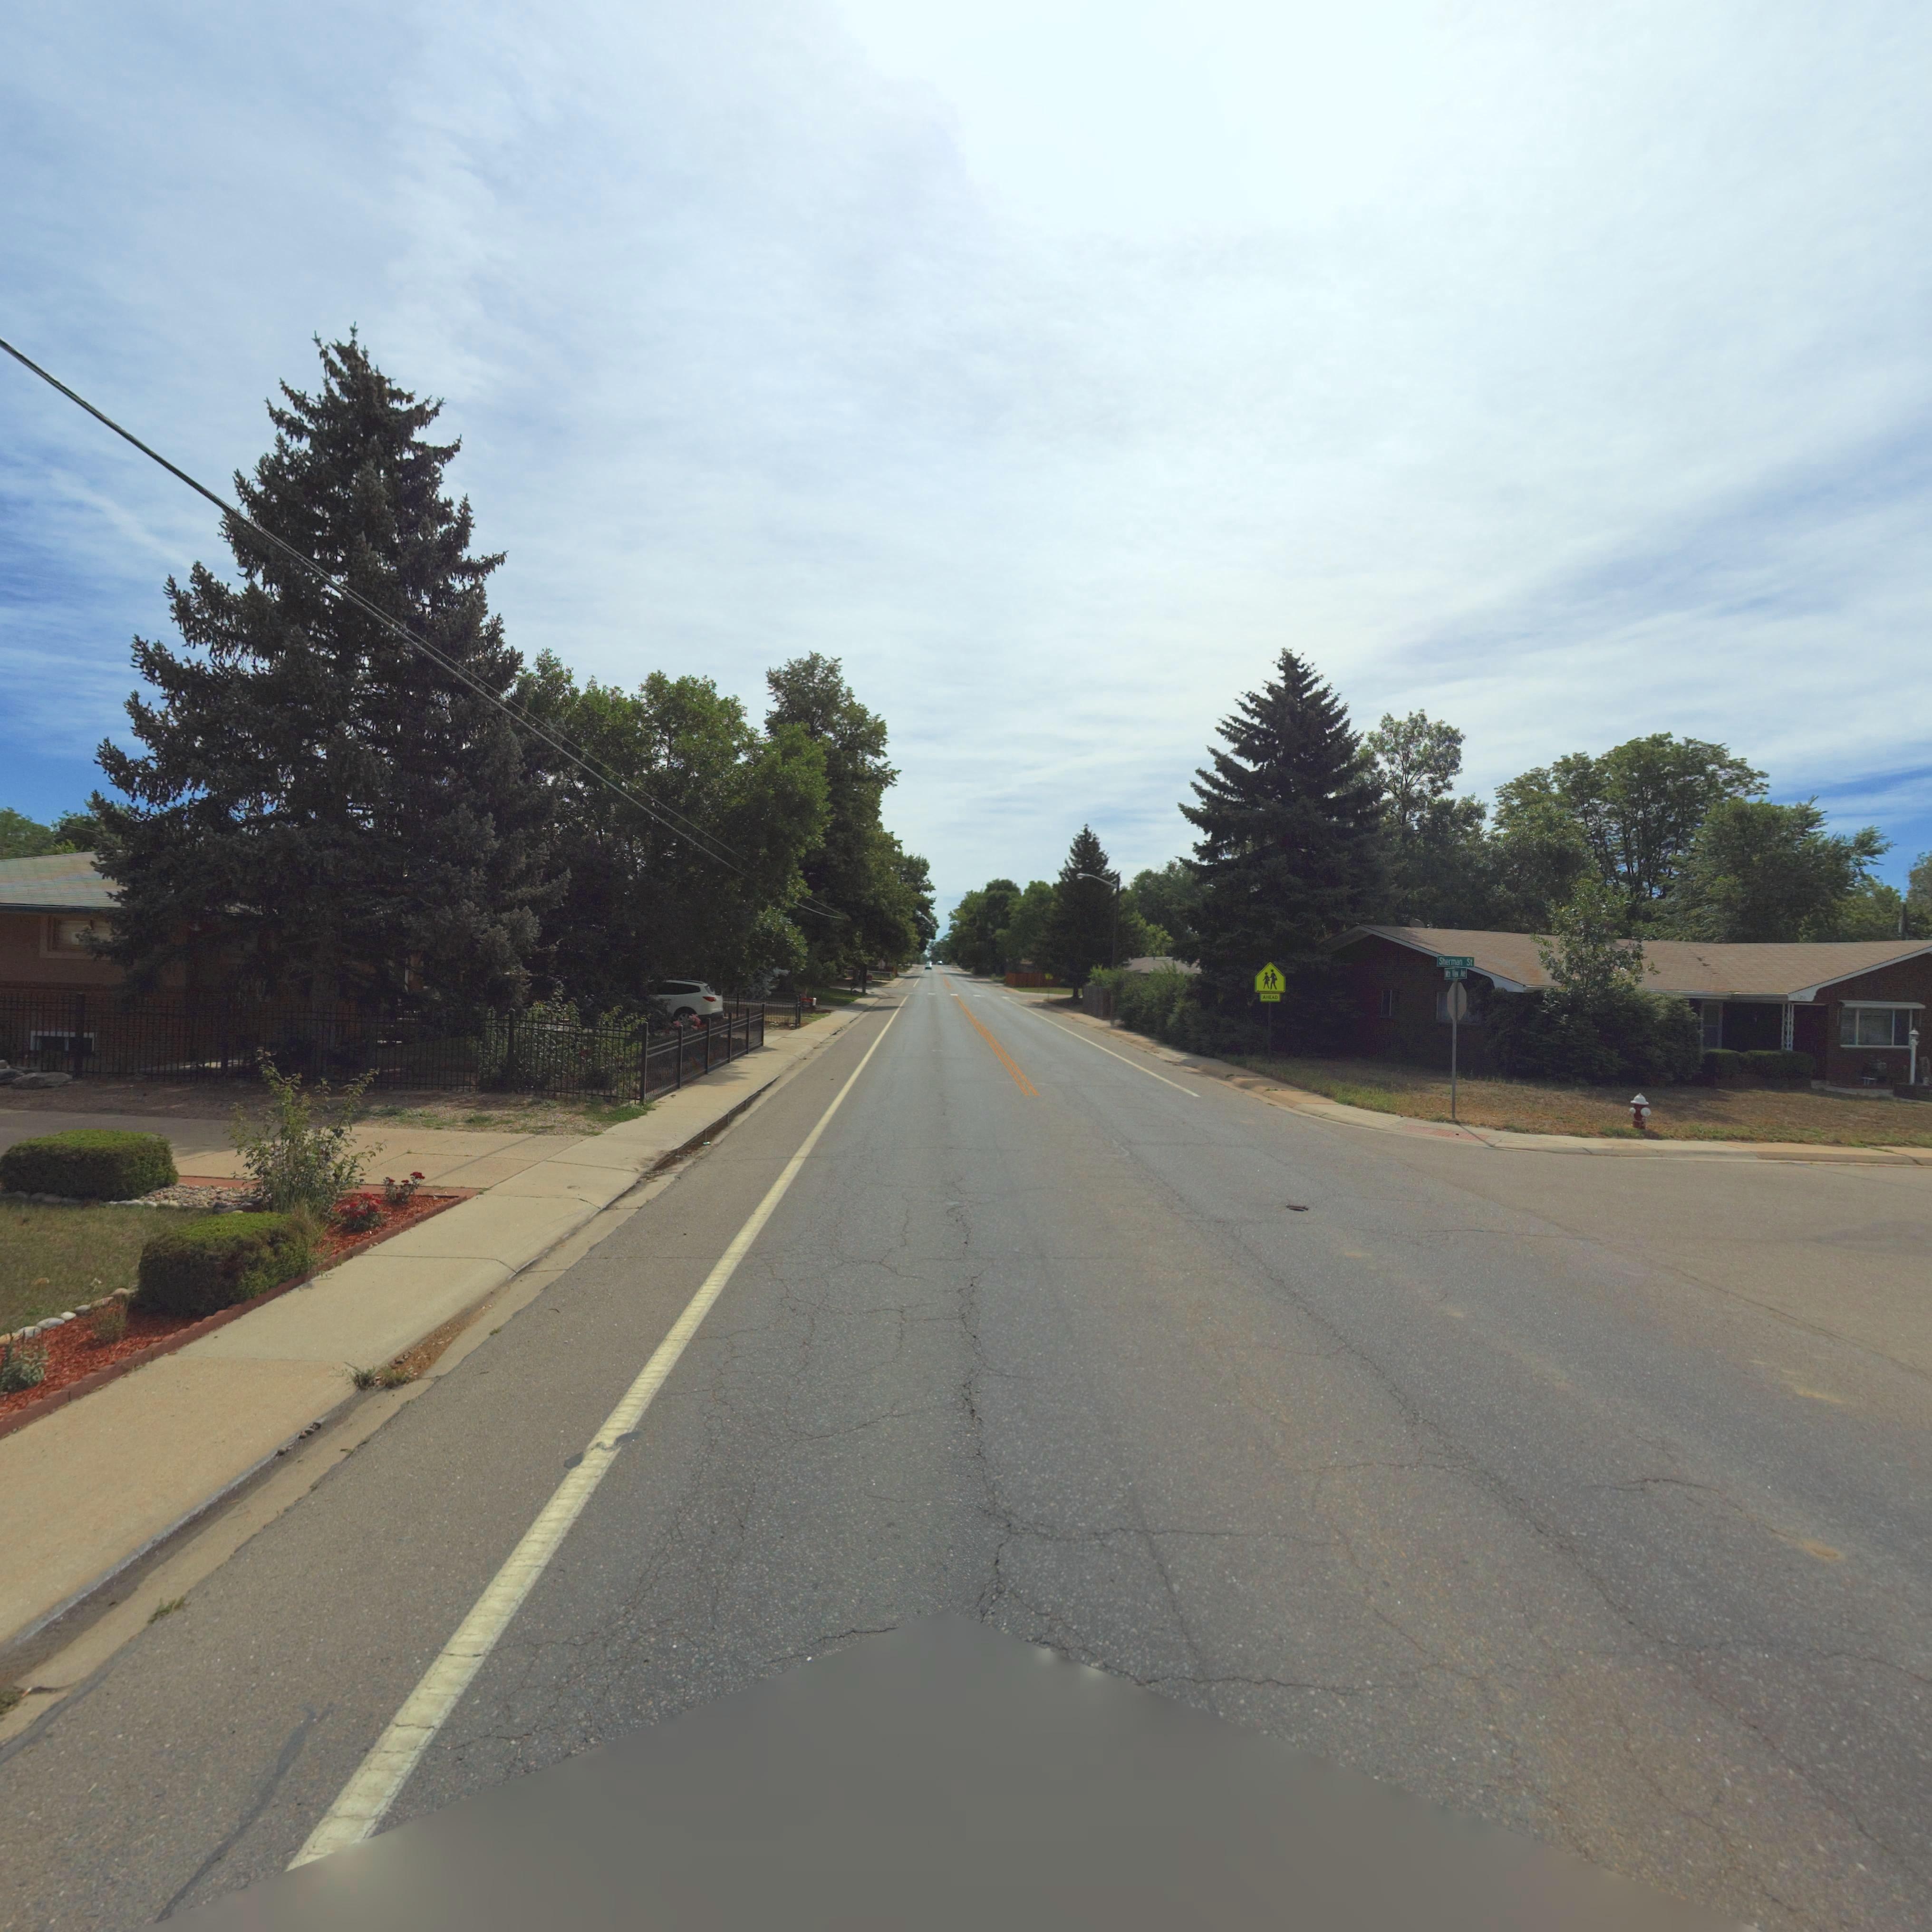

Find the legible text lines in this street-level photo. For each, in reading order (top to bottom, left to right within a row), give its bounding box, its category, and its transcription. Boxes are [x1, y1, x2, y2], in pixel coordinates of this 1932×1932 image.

[1439, 956, 1472, 966] StreetName: Sherman St
[1445, 969, 1465, 978] StreetName: M* Ve* Ae